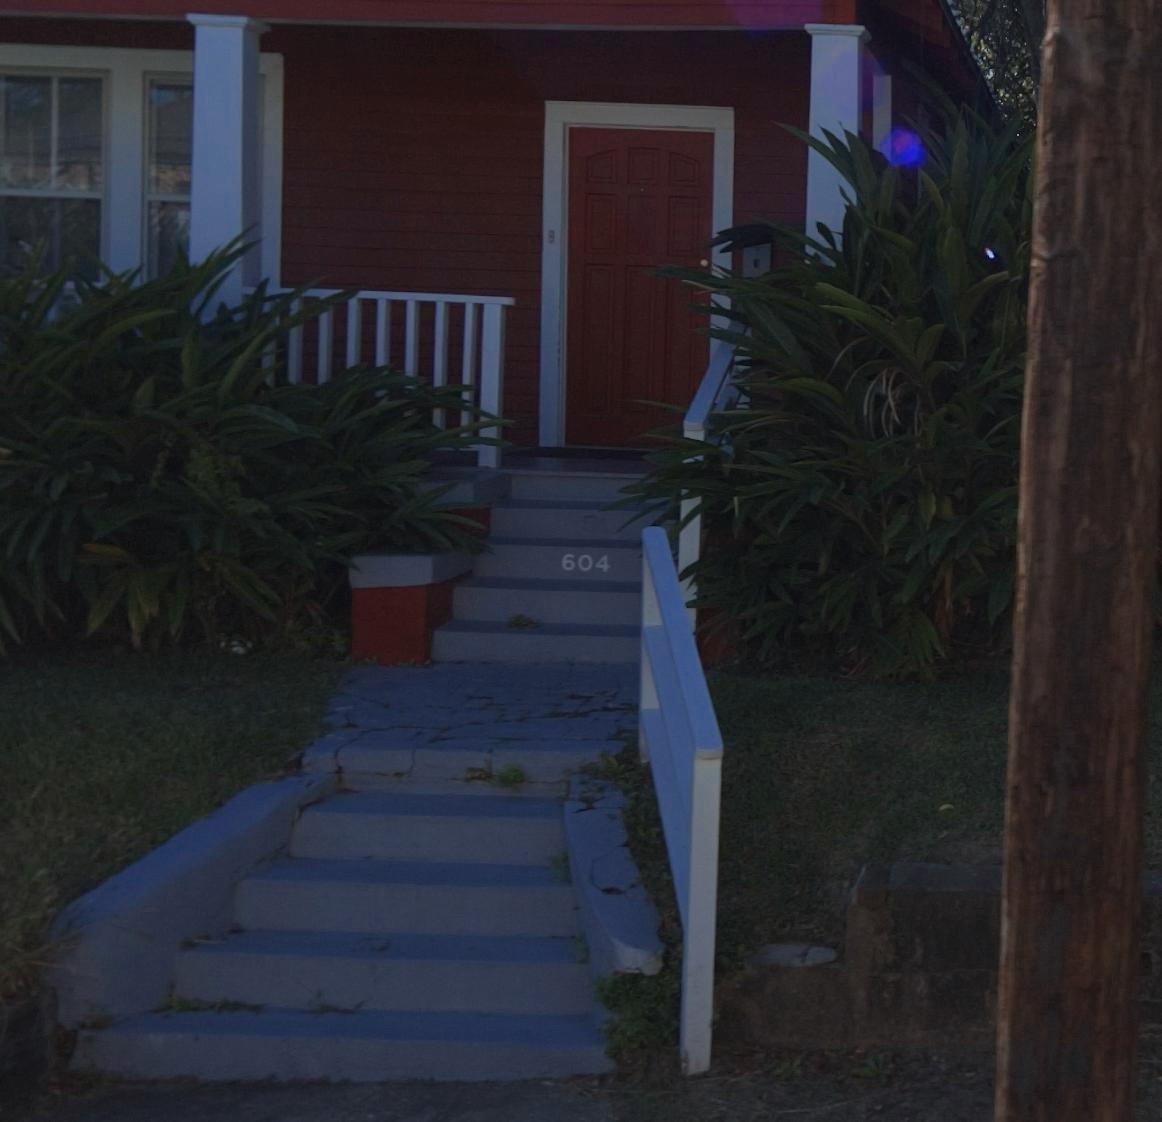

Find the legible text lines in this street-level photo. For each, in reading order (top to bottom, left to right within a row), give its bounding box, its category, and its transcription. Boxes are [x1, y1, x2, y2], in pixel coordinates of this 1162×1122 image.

[560, 551, 612, 574] StreetNumber: 604